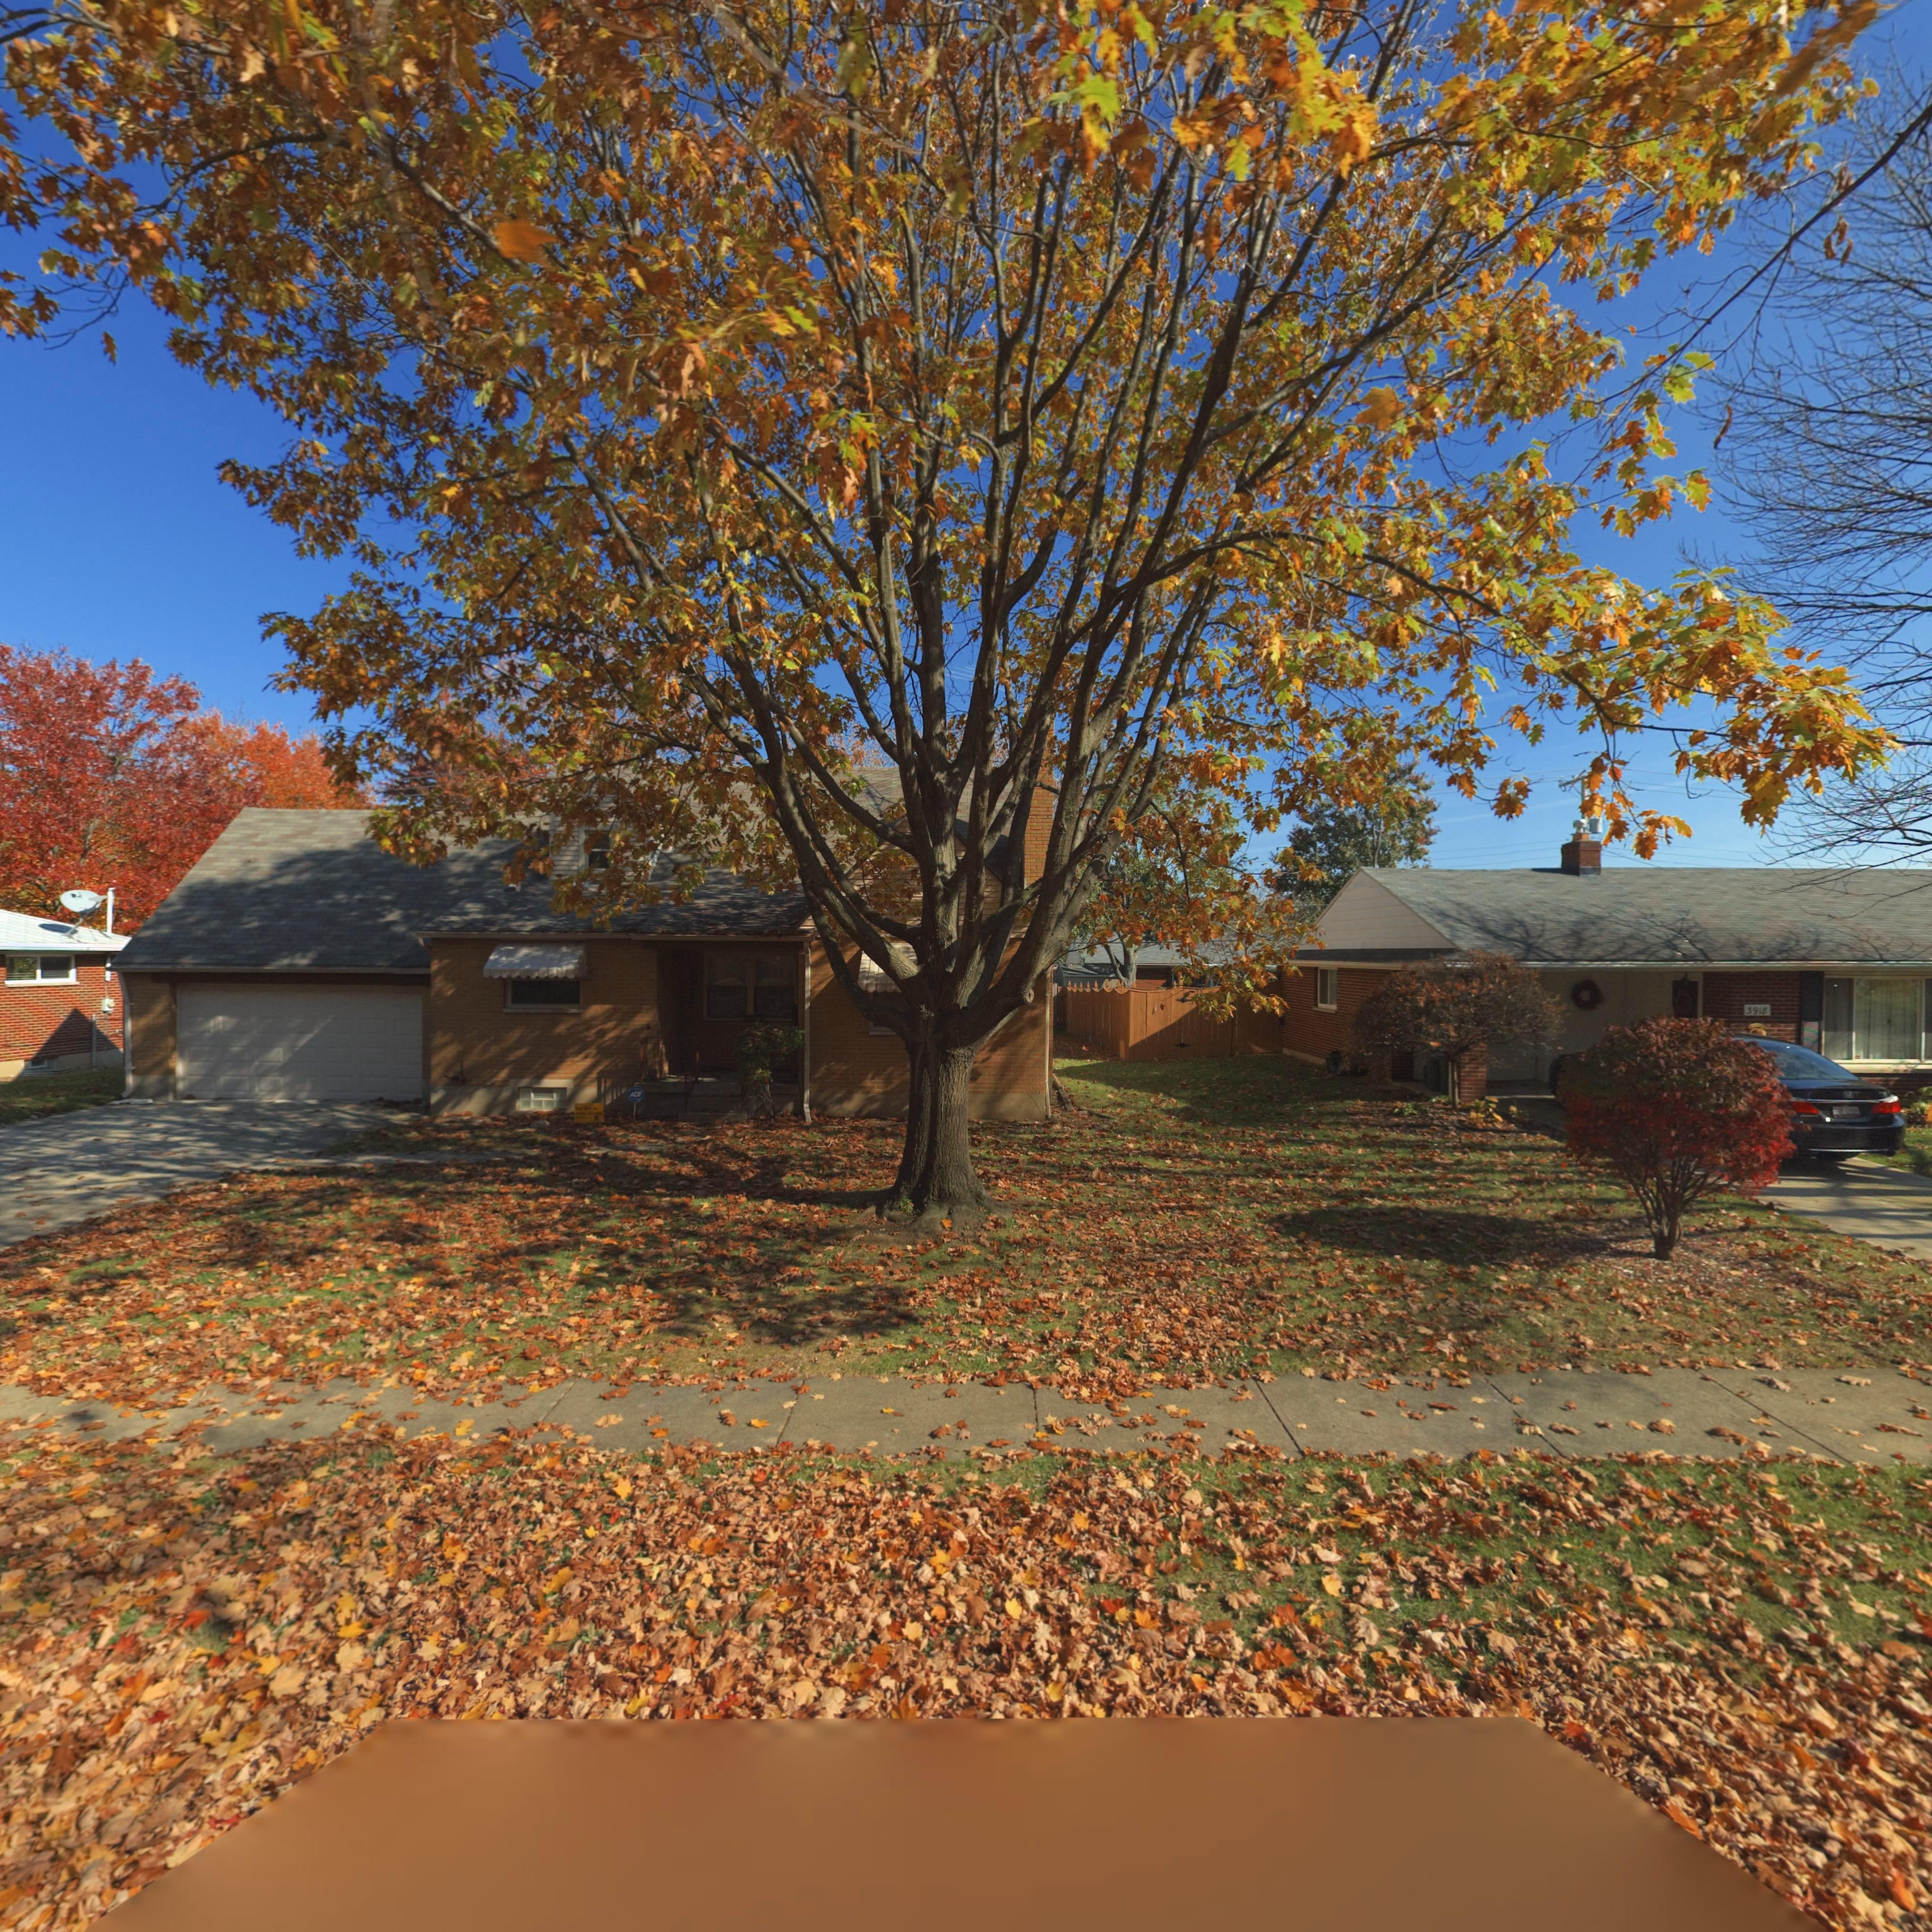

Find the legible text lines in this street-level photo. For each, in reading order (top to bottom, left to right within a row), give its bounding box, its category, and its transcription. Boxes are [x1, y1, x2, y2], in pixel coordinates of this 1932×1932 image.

[1746, 1006, 1769, 1015] StreetNumber: 3918
[628, 1090, 643, 1098] None: ADT